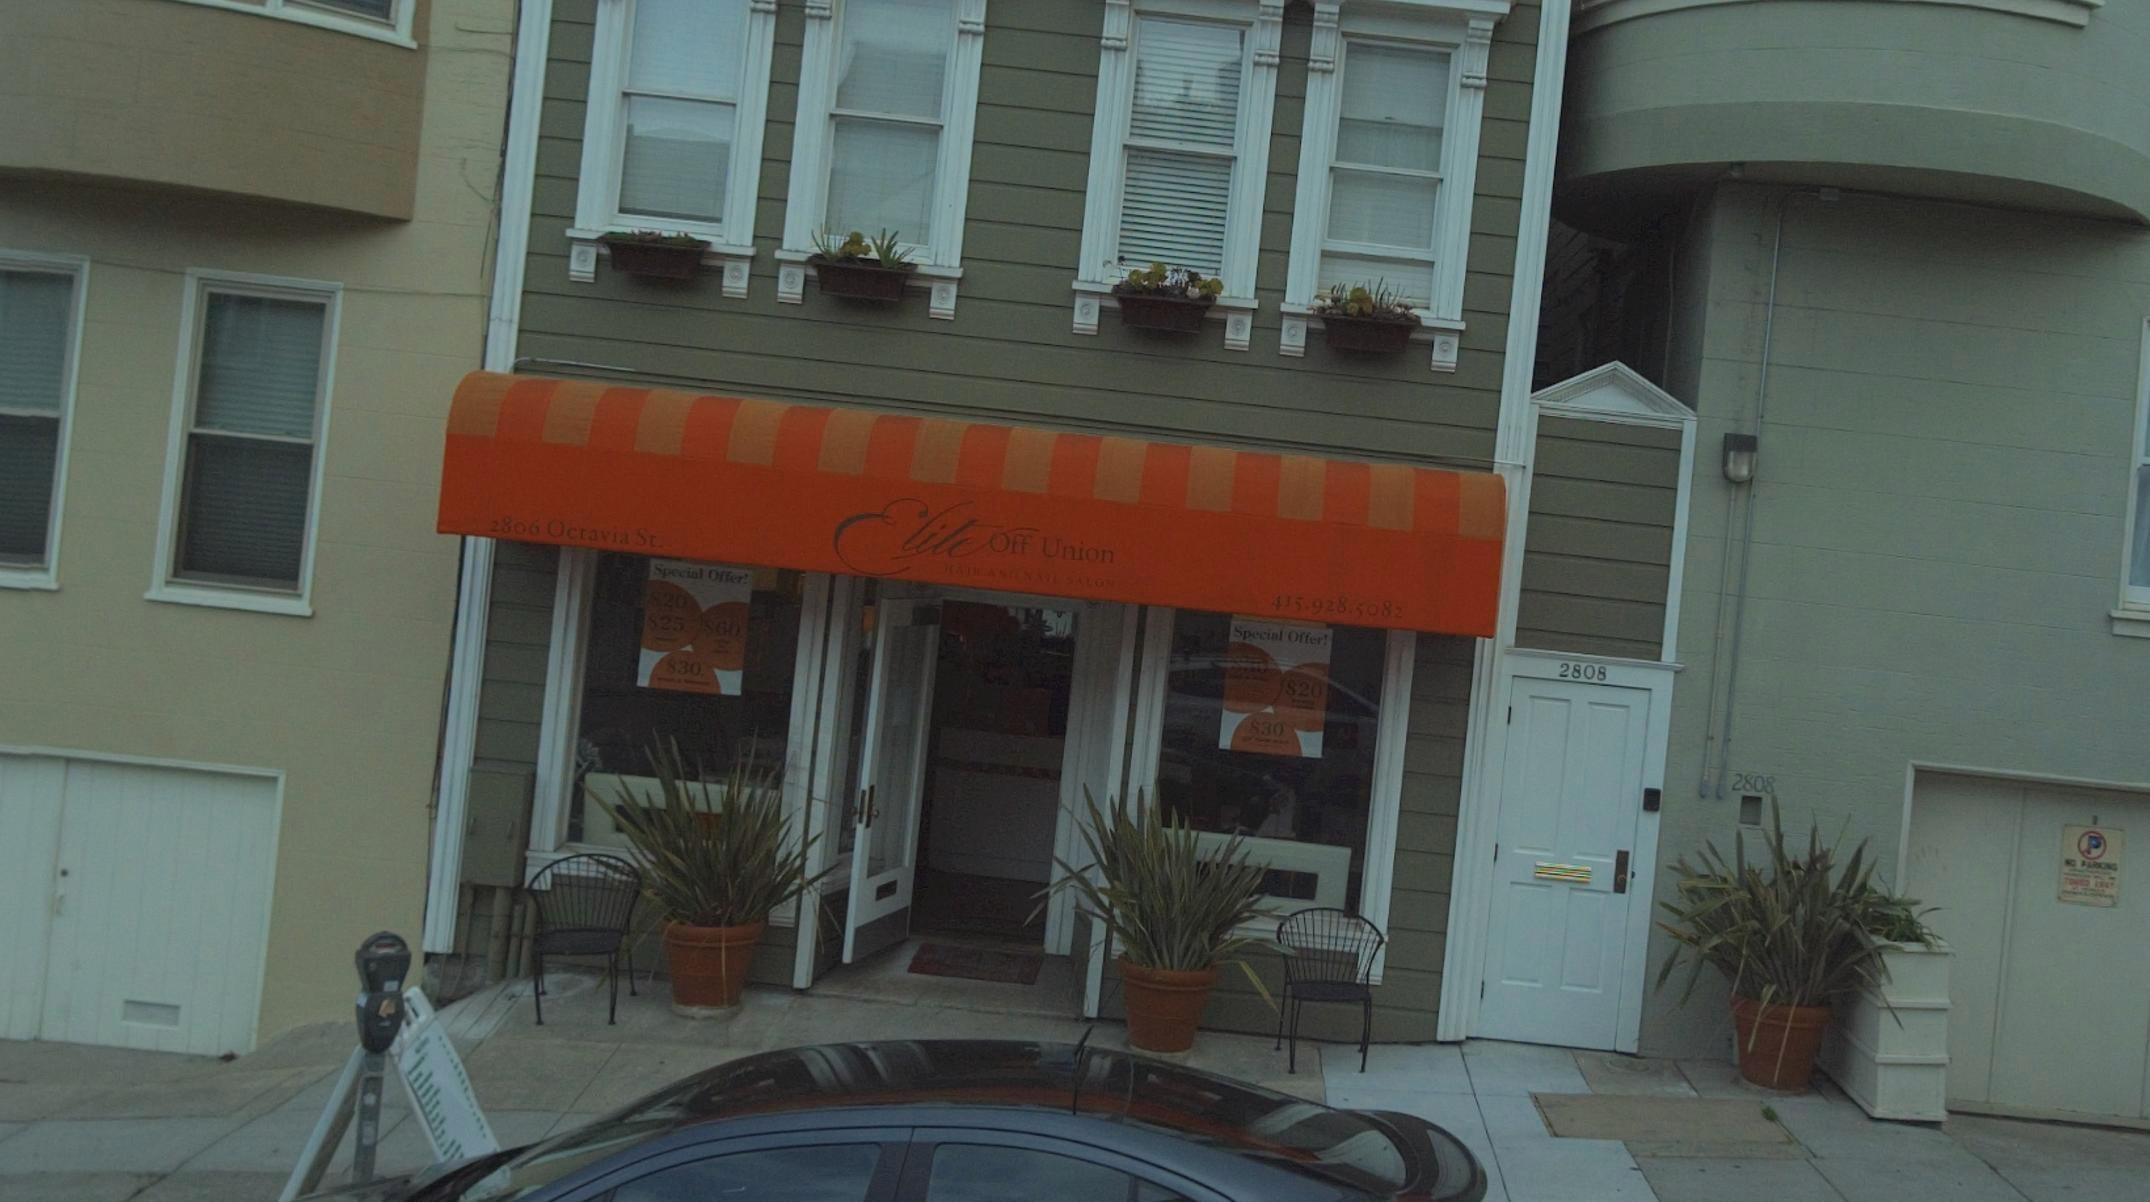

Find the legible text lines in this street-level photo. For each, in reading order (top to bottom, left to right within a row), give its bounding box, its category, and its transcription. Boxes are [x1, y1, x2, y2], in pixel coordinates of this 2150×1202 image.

[483, 512, 542, 538] StreetNumber: 2806
[544, 515, 668, 552] StreetName: Octavia St.
[828, 491, 984, 580] BusinessName: Elite
[986, 529, 1118, 567] BusinessName: Off Union
[651, 560, 751, 588] None: Special Offer!
[941, 559, 1120, 592] BusinessName: HAIR AND NAIL SALON
[660, 590, 689, 612] None: 20
[1265, 590, 1406, 623] None: 415.928.5082
[656, 613, 688, 634] None: 25
[713, 617, 743, 641] None: 60
[1231, 622, 1330, 649] None: Special Offer!
[675, 658, 705, 678] None: 30
[1555, 659, 1609, 684] StreetNumber: 2808
[1295, 677, 1325, 701] None: 20
[1258, 719, 1286, 740] None: 30
[1728, 770, 1779, 797] StreetNumber: 2808